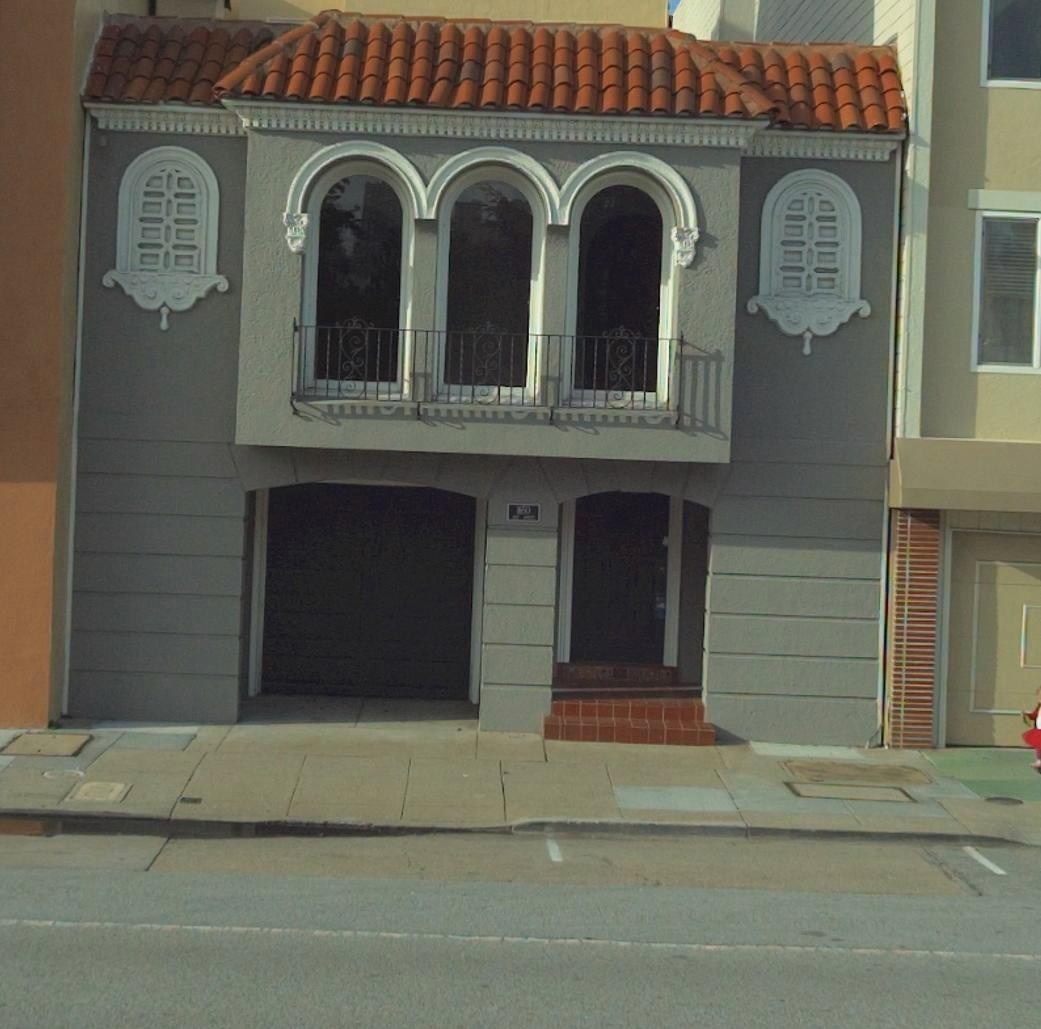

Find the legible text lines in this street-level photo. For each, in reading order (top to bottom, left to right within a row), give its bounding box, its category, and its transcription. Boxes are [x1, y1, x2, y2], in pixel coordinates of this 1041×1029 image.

[514, 504, 533, 516] StreetNumber: ***0